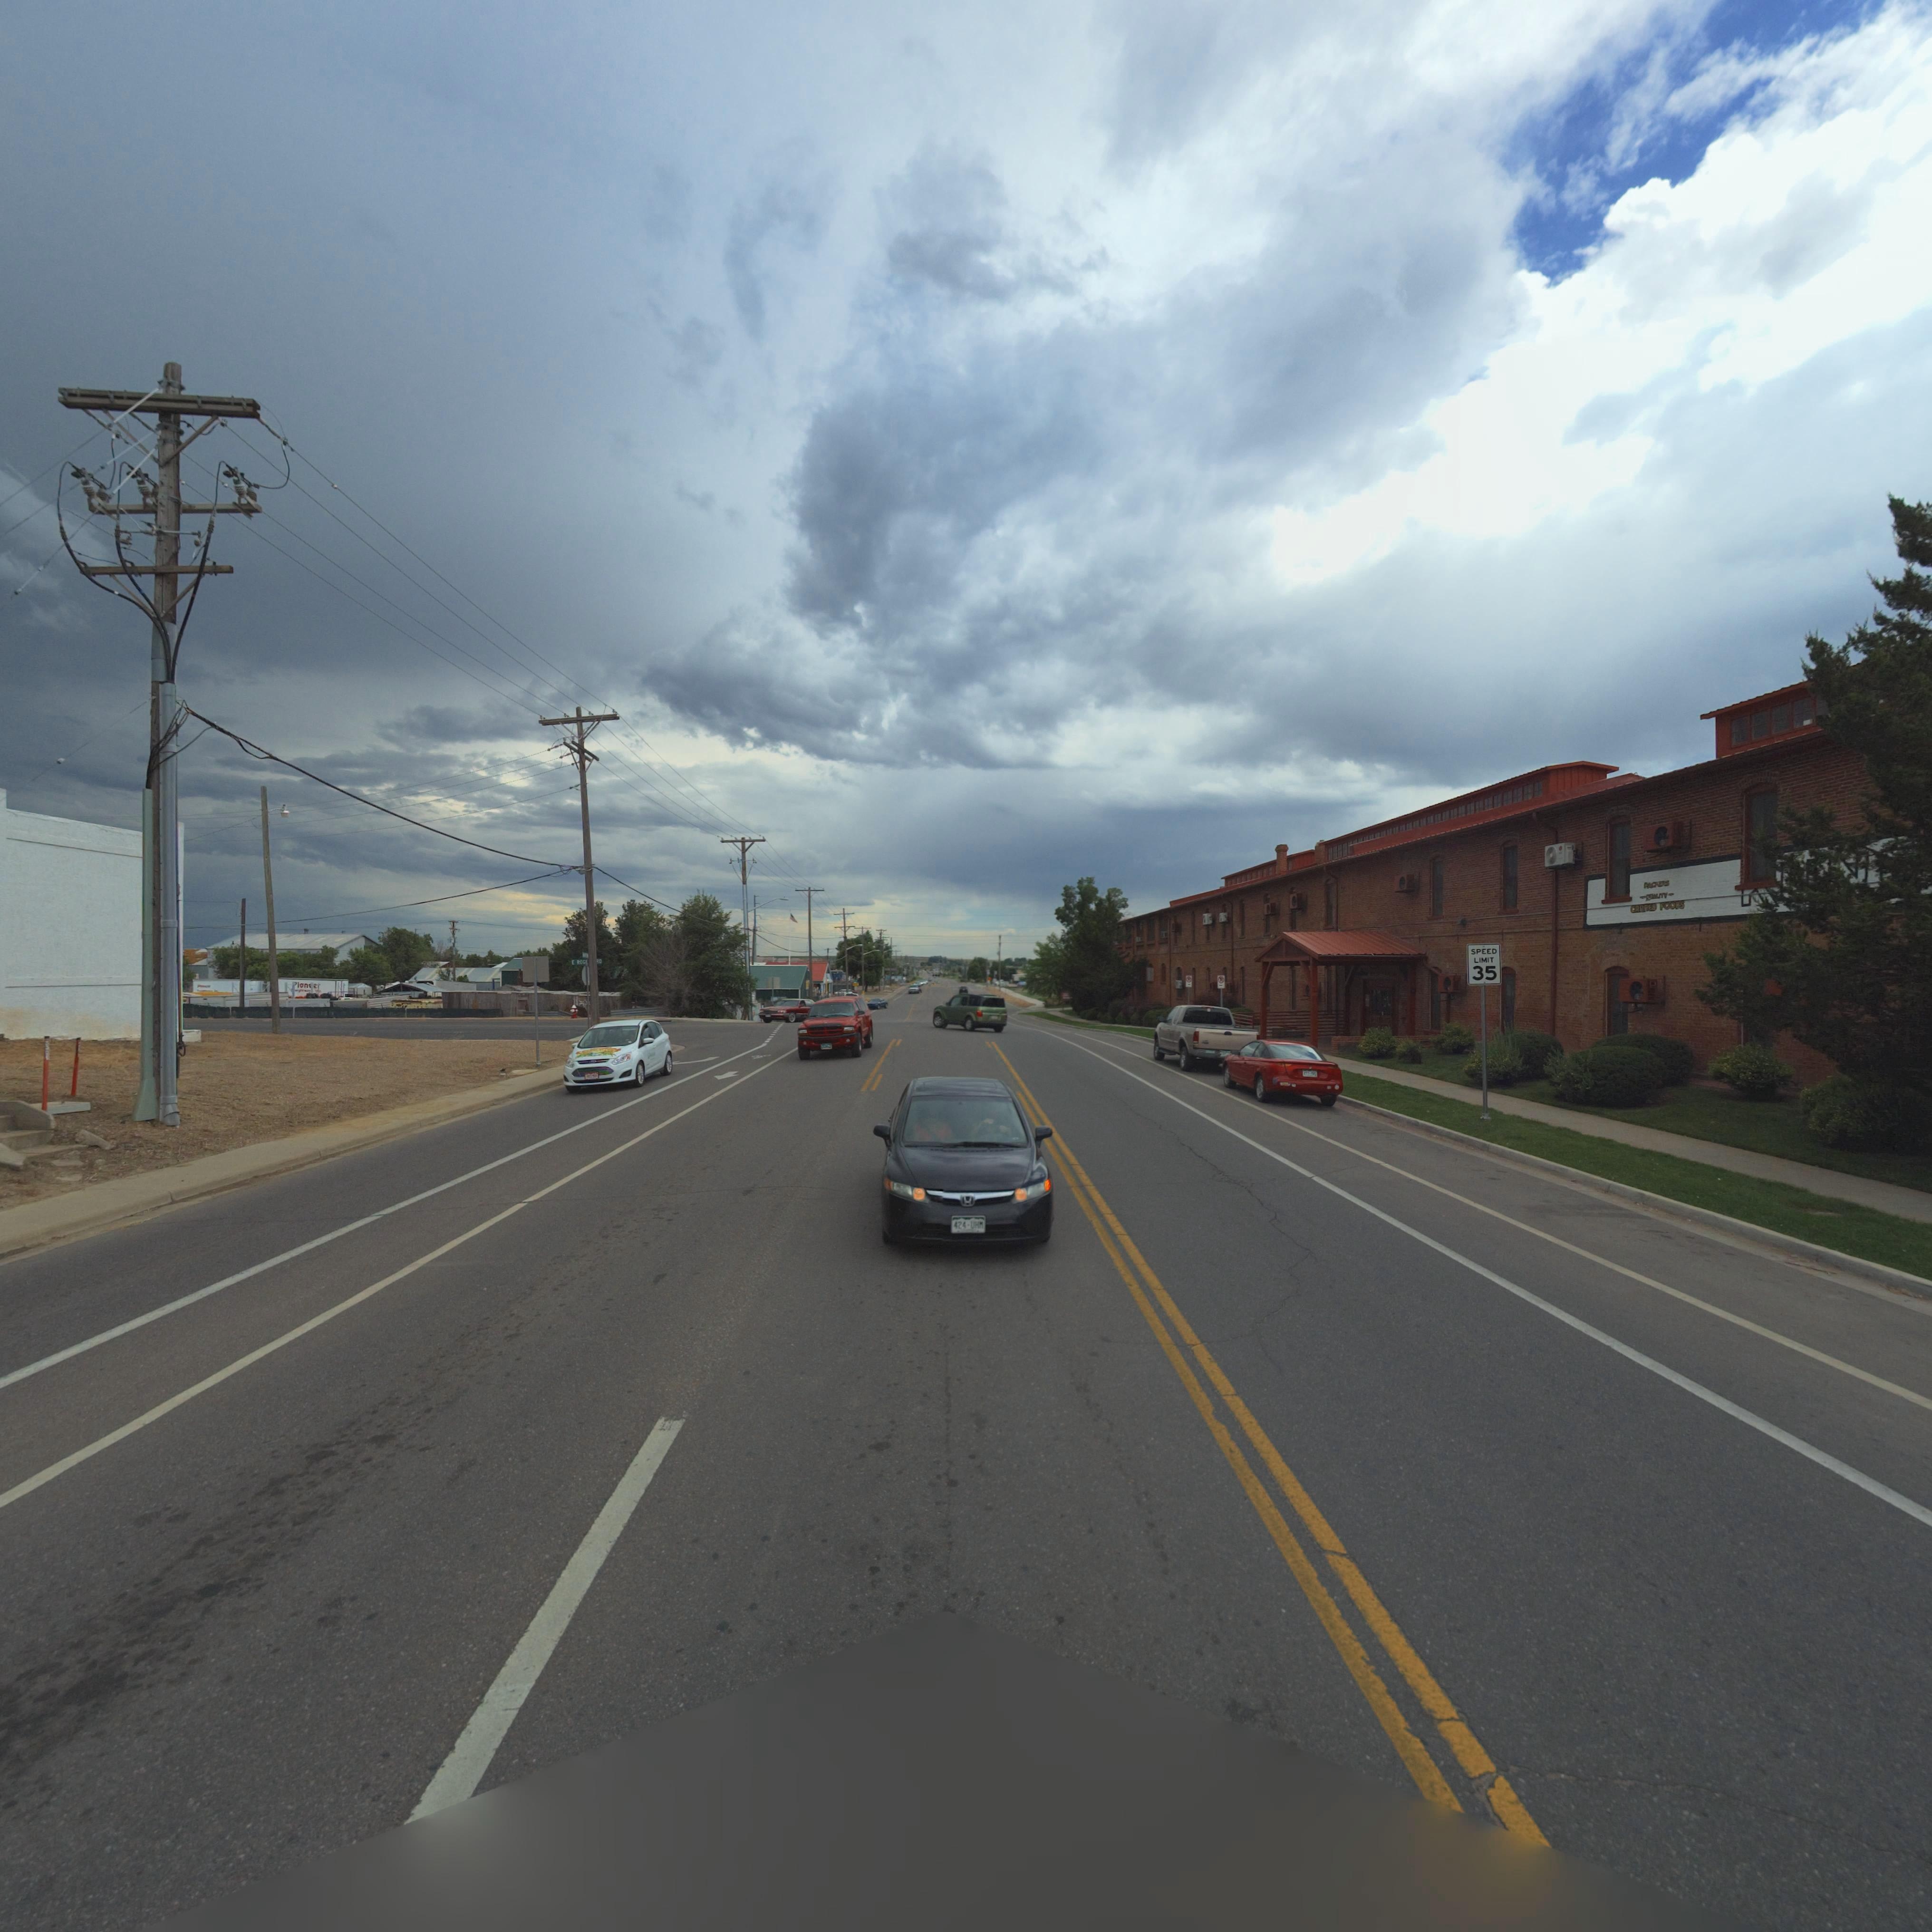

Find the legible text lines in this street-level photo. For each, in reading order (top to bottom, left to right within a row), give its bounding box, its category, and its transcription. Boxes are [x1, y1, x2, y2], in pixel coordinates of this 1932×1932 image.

[571, 958, 602, 965] StreetName: E ROG*** *D